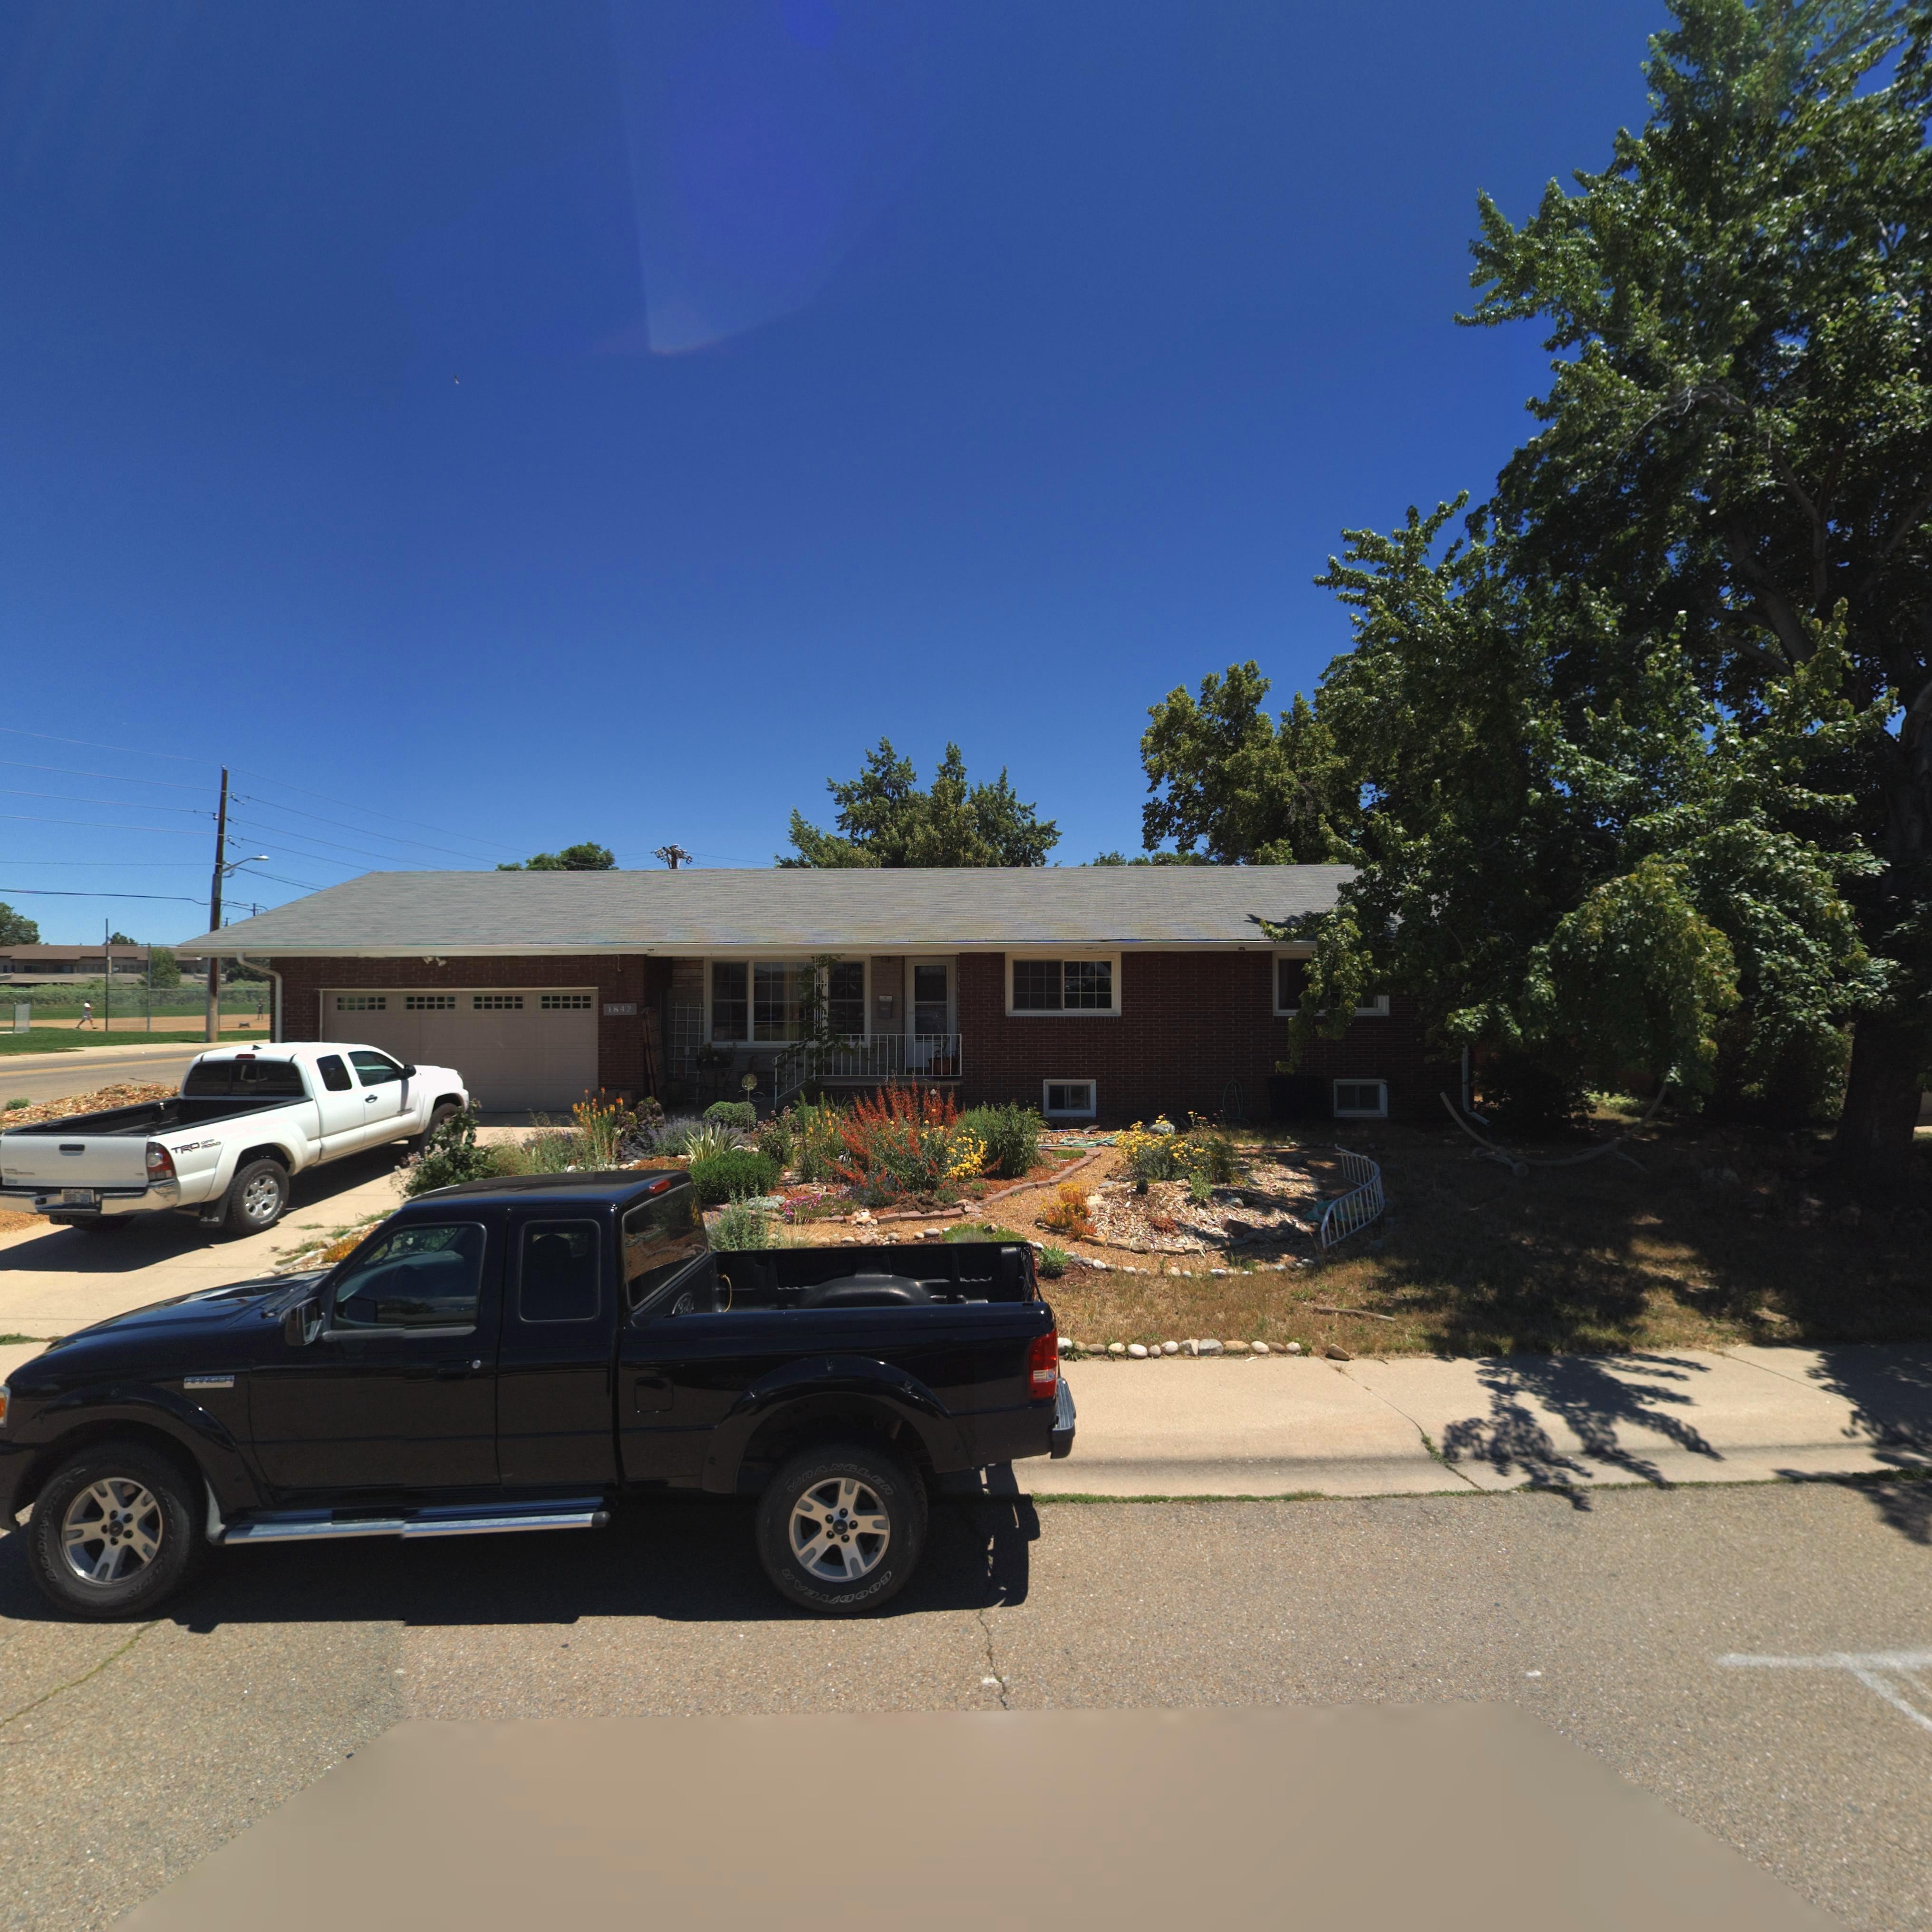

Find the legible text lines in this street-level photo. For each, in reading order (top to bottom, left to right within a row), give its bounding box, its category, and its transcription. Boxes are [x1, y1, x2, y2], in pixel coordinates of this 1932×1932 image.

[607, 1005, 632, 1013] StreetNumber: 1842